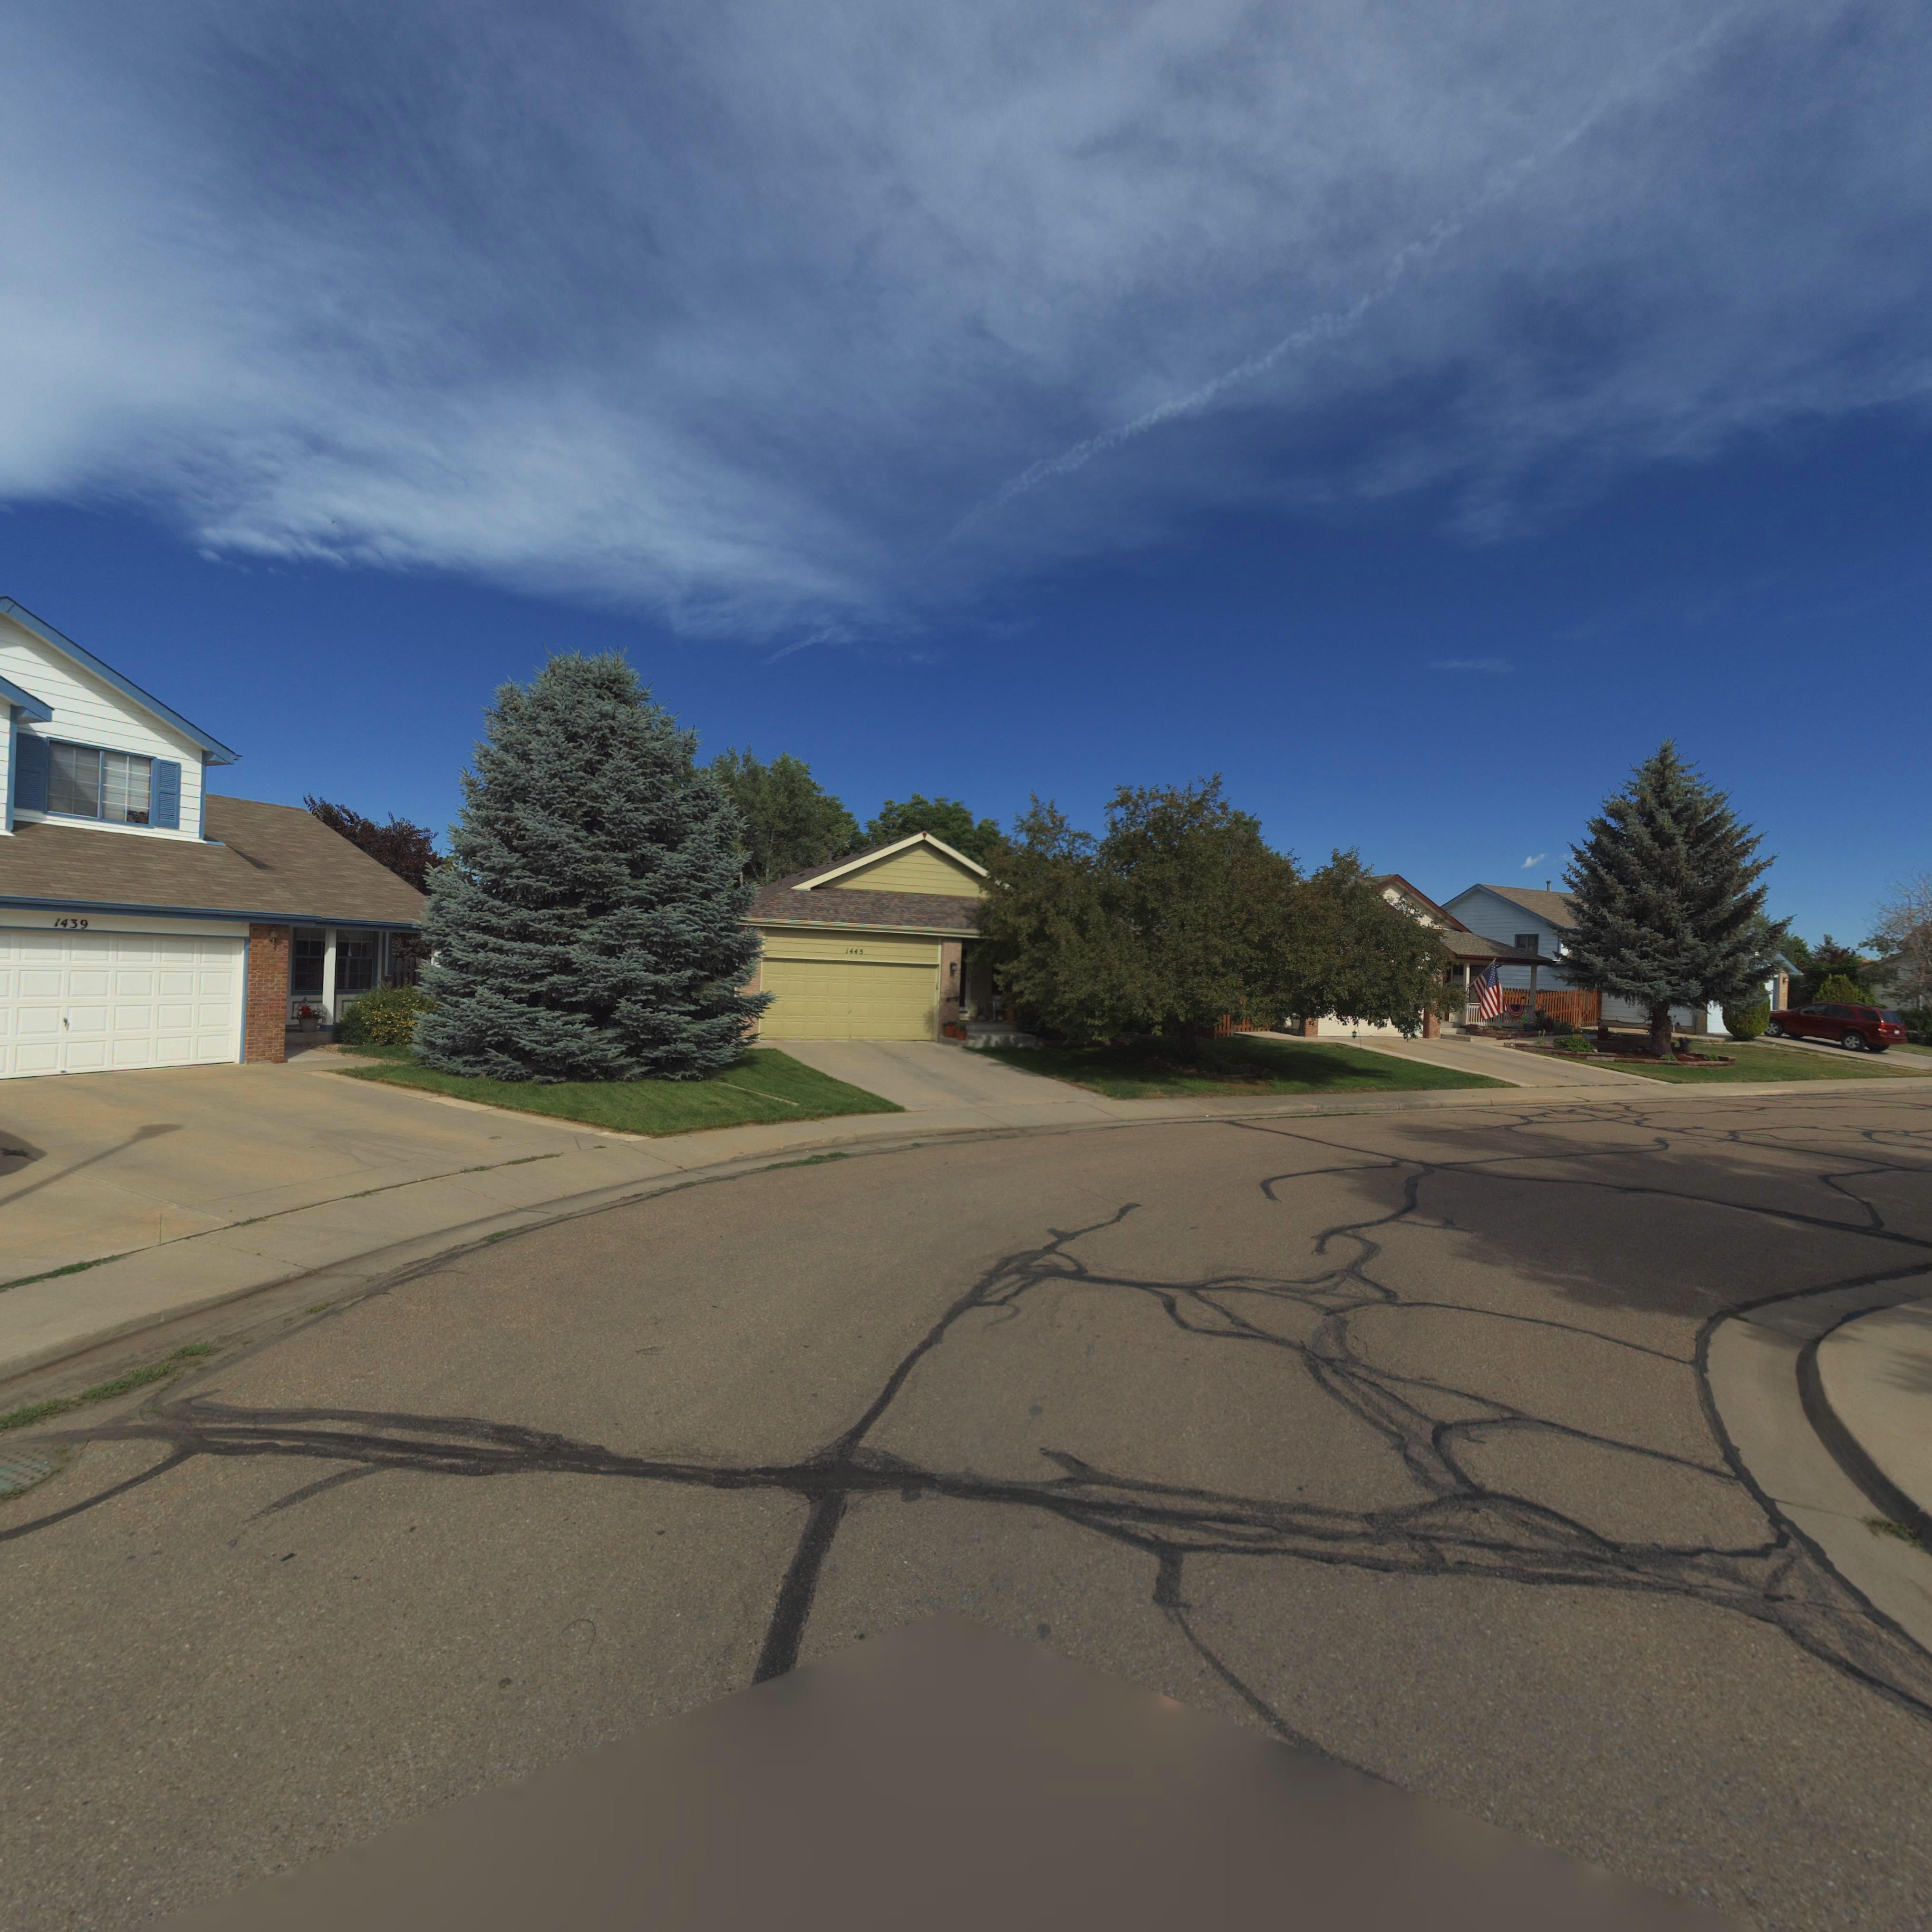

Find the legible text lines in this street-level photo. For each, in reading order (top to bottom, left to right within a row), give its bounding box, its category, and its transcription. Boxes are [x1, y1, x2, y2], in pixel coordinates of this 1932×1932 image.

[53, 917, 88, 929] StreetNumber: 1439
[845, 947, 864, 955] StreetNumber: 1445